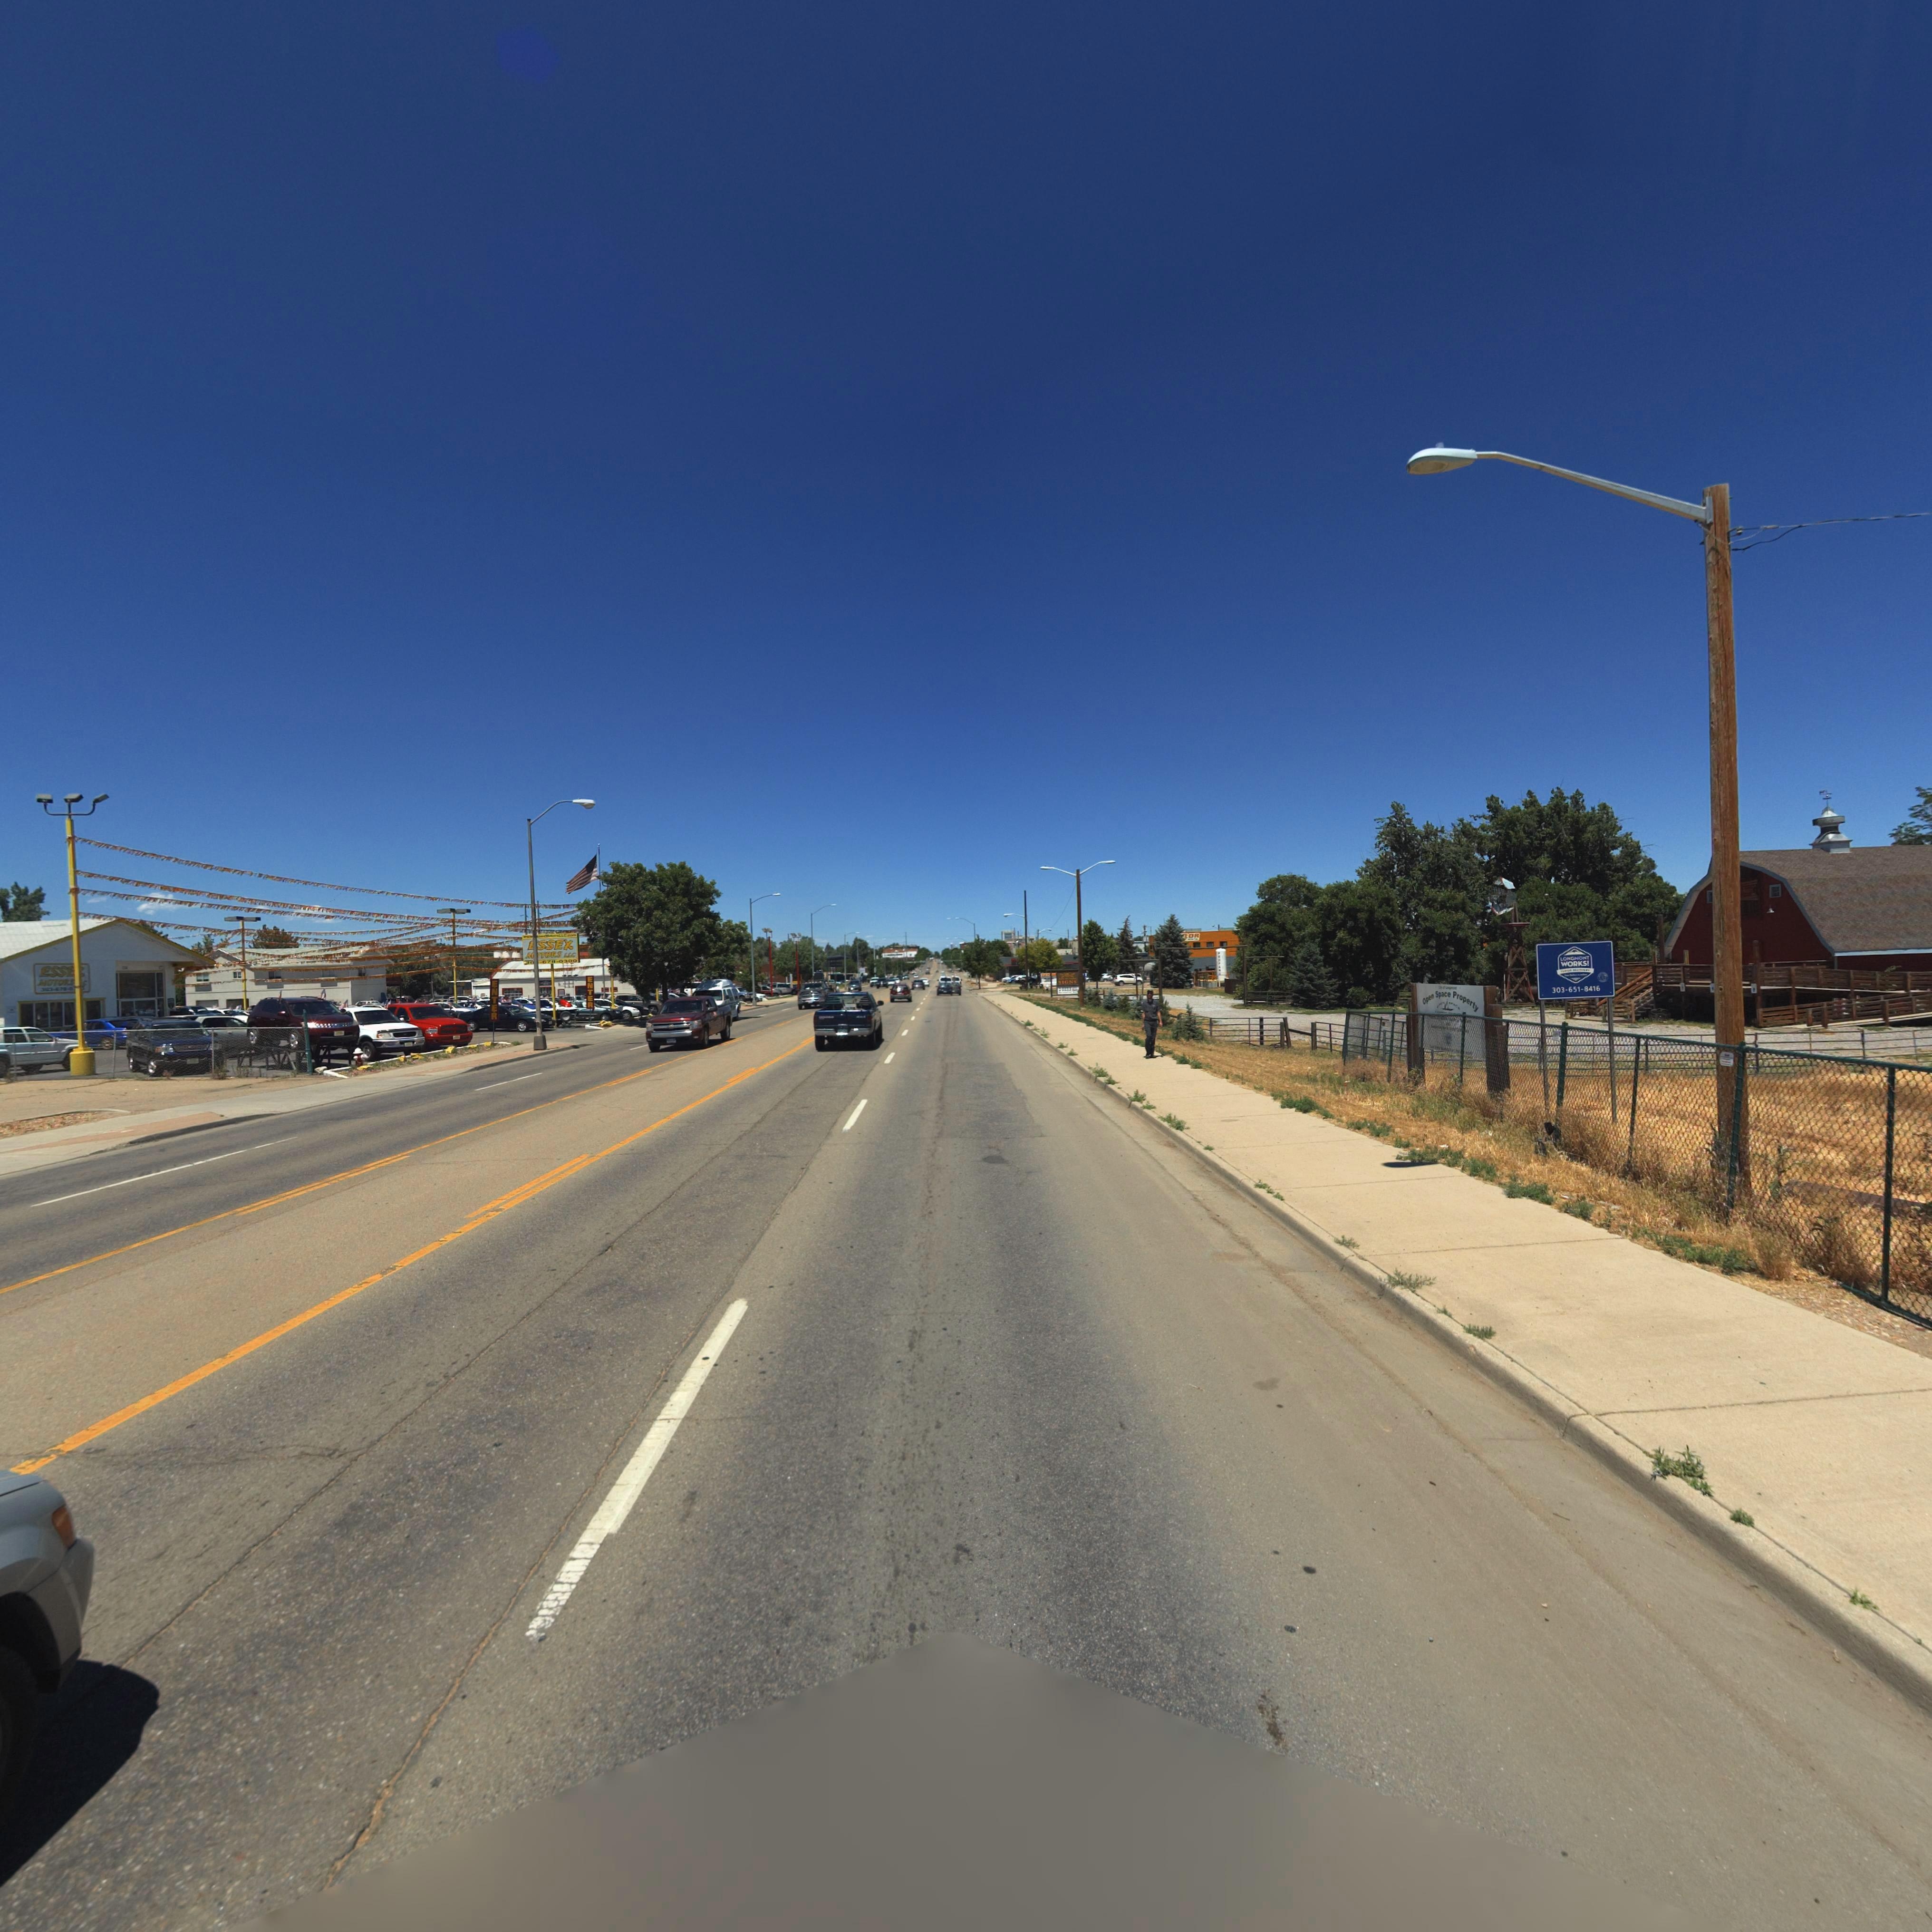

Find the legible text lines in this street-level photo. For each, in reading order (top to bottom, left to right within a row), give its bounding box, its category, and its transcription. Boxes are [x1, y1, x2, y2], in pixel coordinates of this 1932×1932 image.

[1184, 933, 1199, 938] BusinessName: LOR
[527, 938, 573, 950] BusinessName: *SSEX
[525, 950, 576, 958] BusinessName: M*TORS ETC
[39, 966, 84, 977] BusinessName: ESSE*
[37, 978, 74, 986] BusinessName: MOTORS
[1059, 987, 1071, 991] BusinessName: D*****